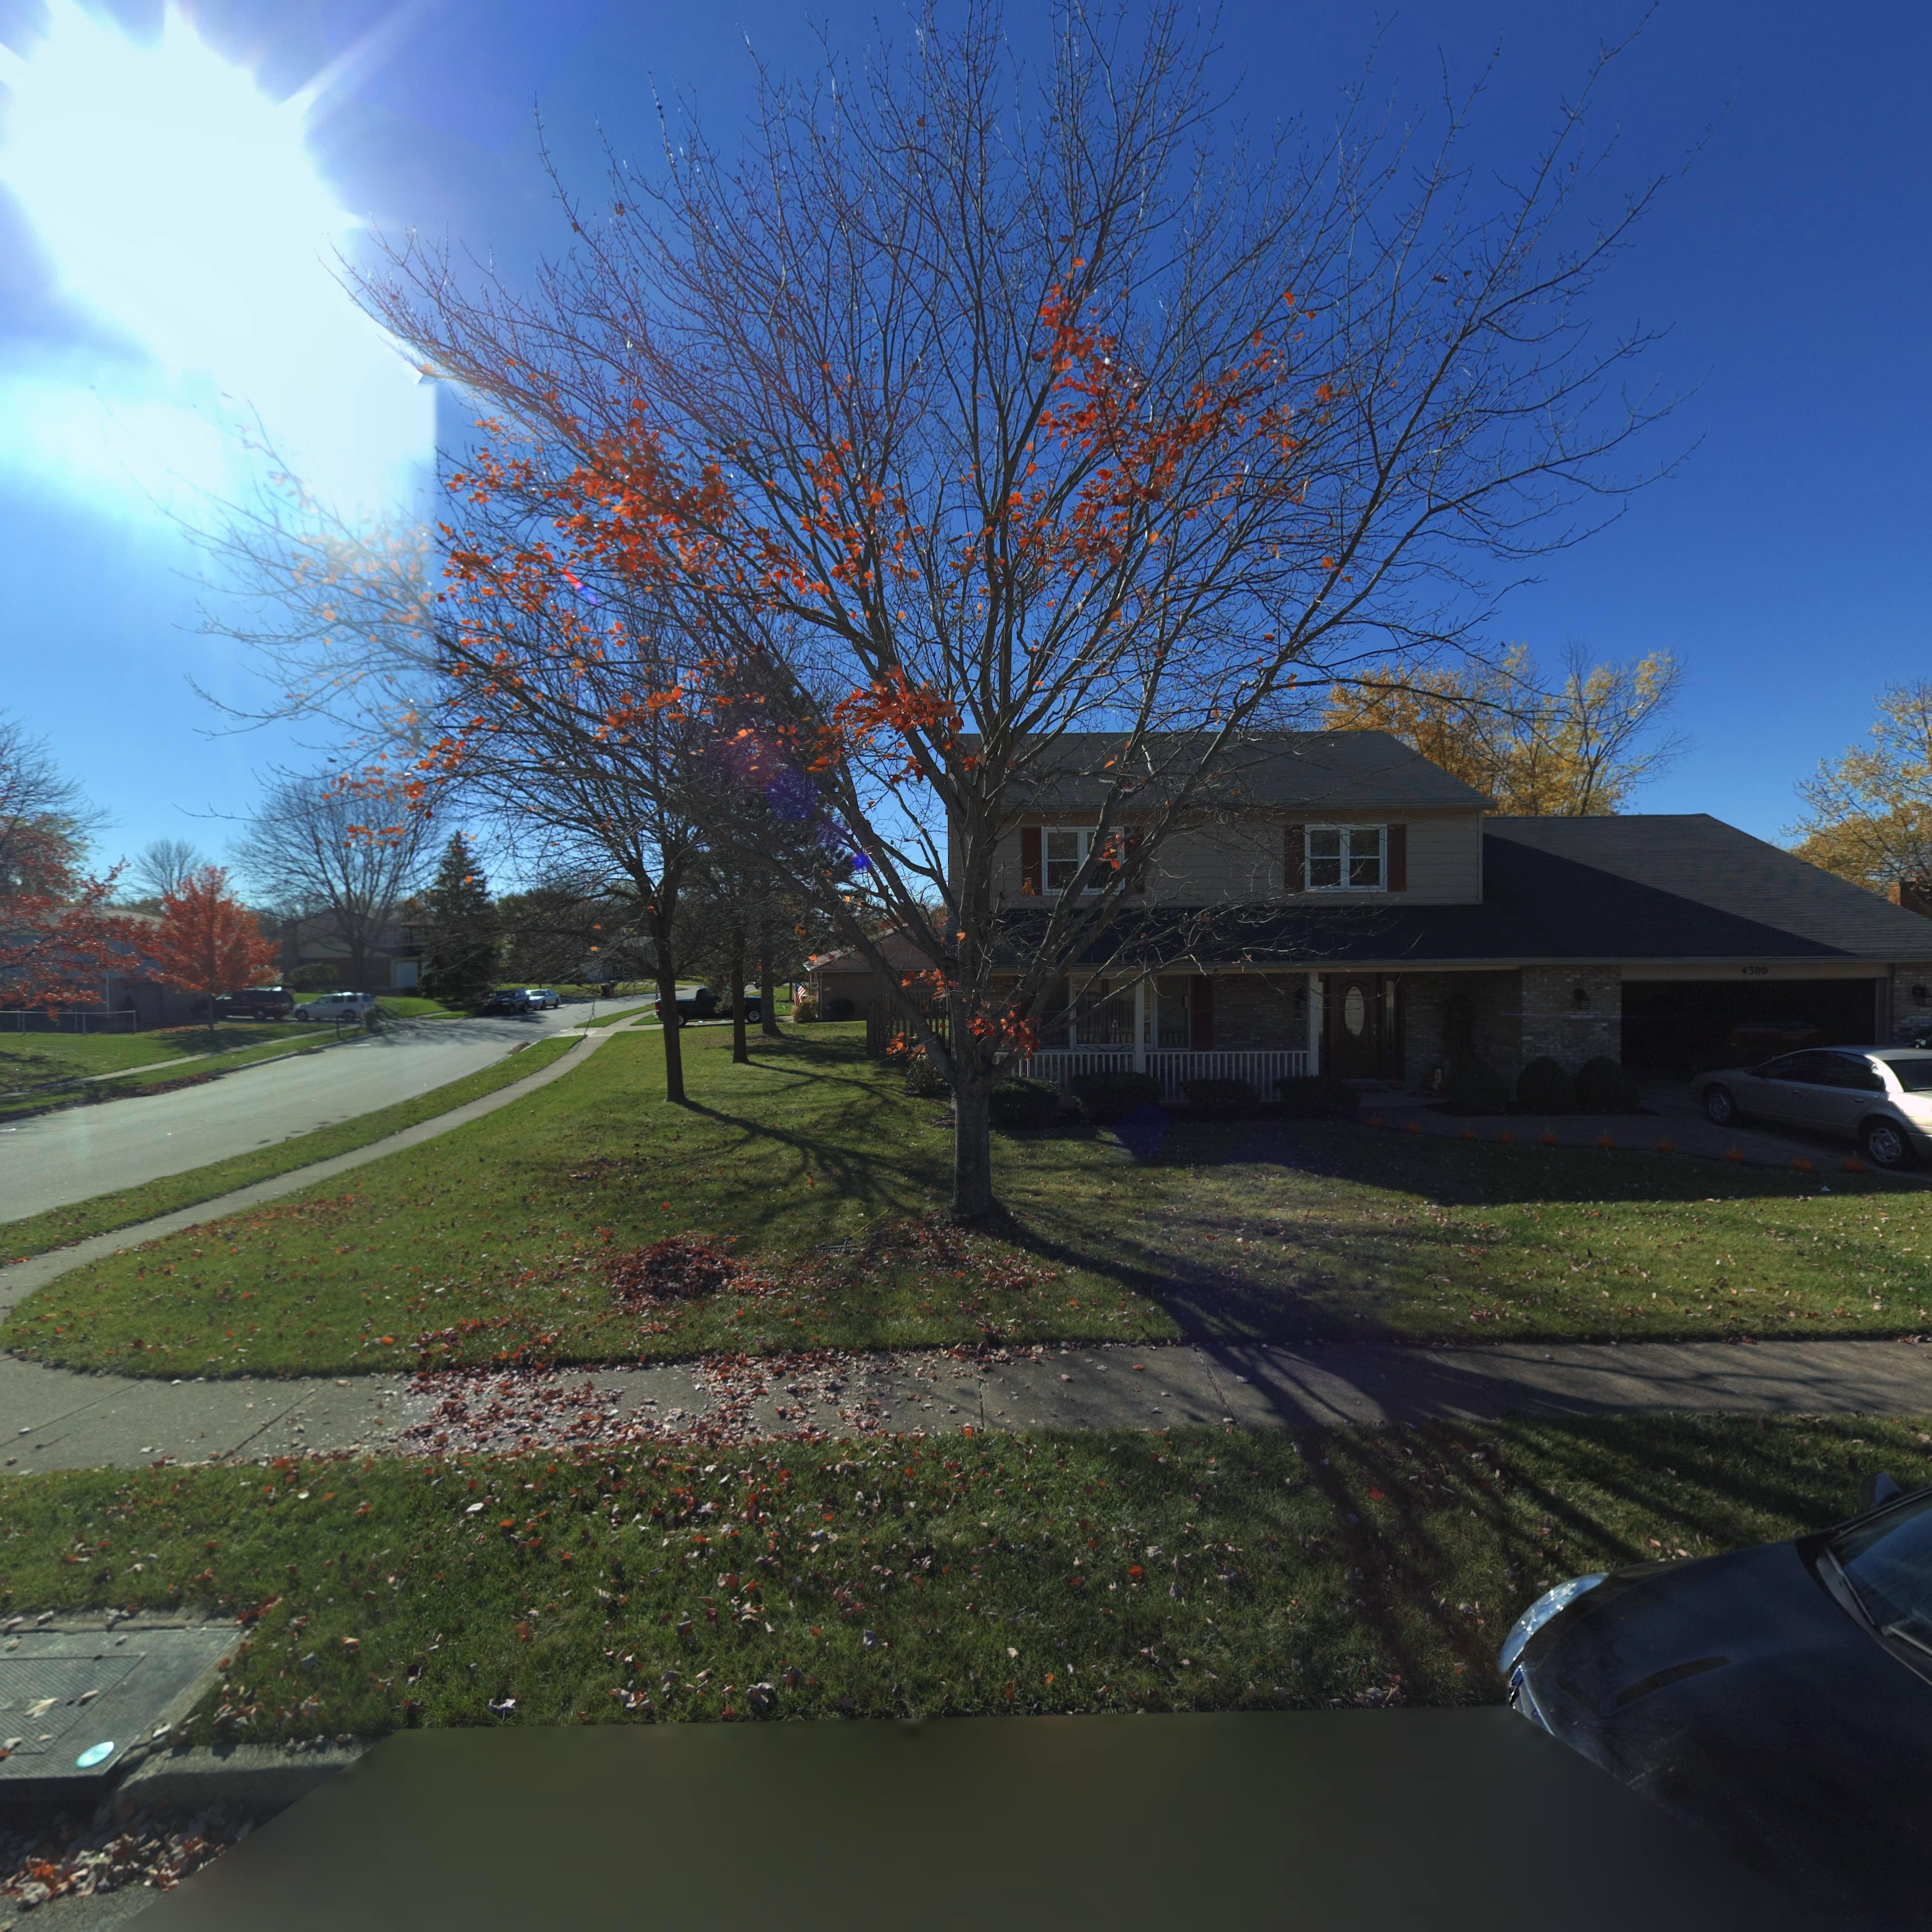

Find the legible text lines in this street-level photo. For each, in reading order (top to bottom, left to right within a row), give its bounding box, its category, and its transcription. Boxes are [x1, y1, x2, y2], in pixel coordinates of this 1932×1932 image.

[1740, 966, 1768, 976] StreetNumber: 4300